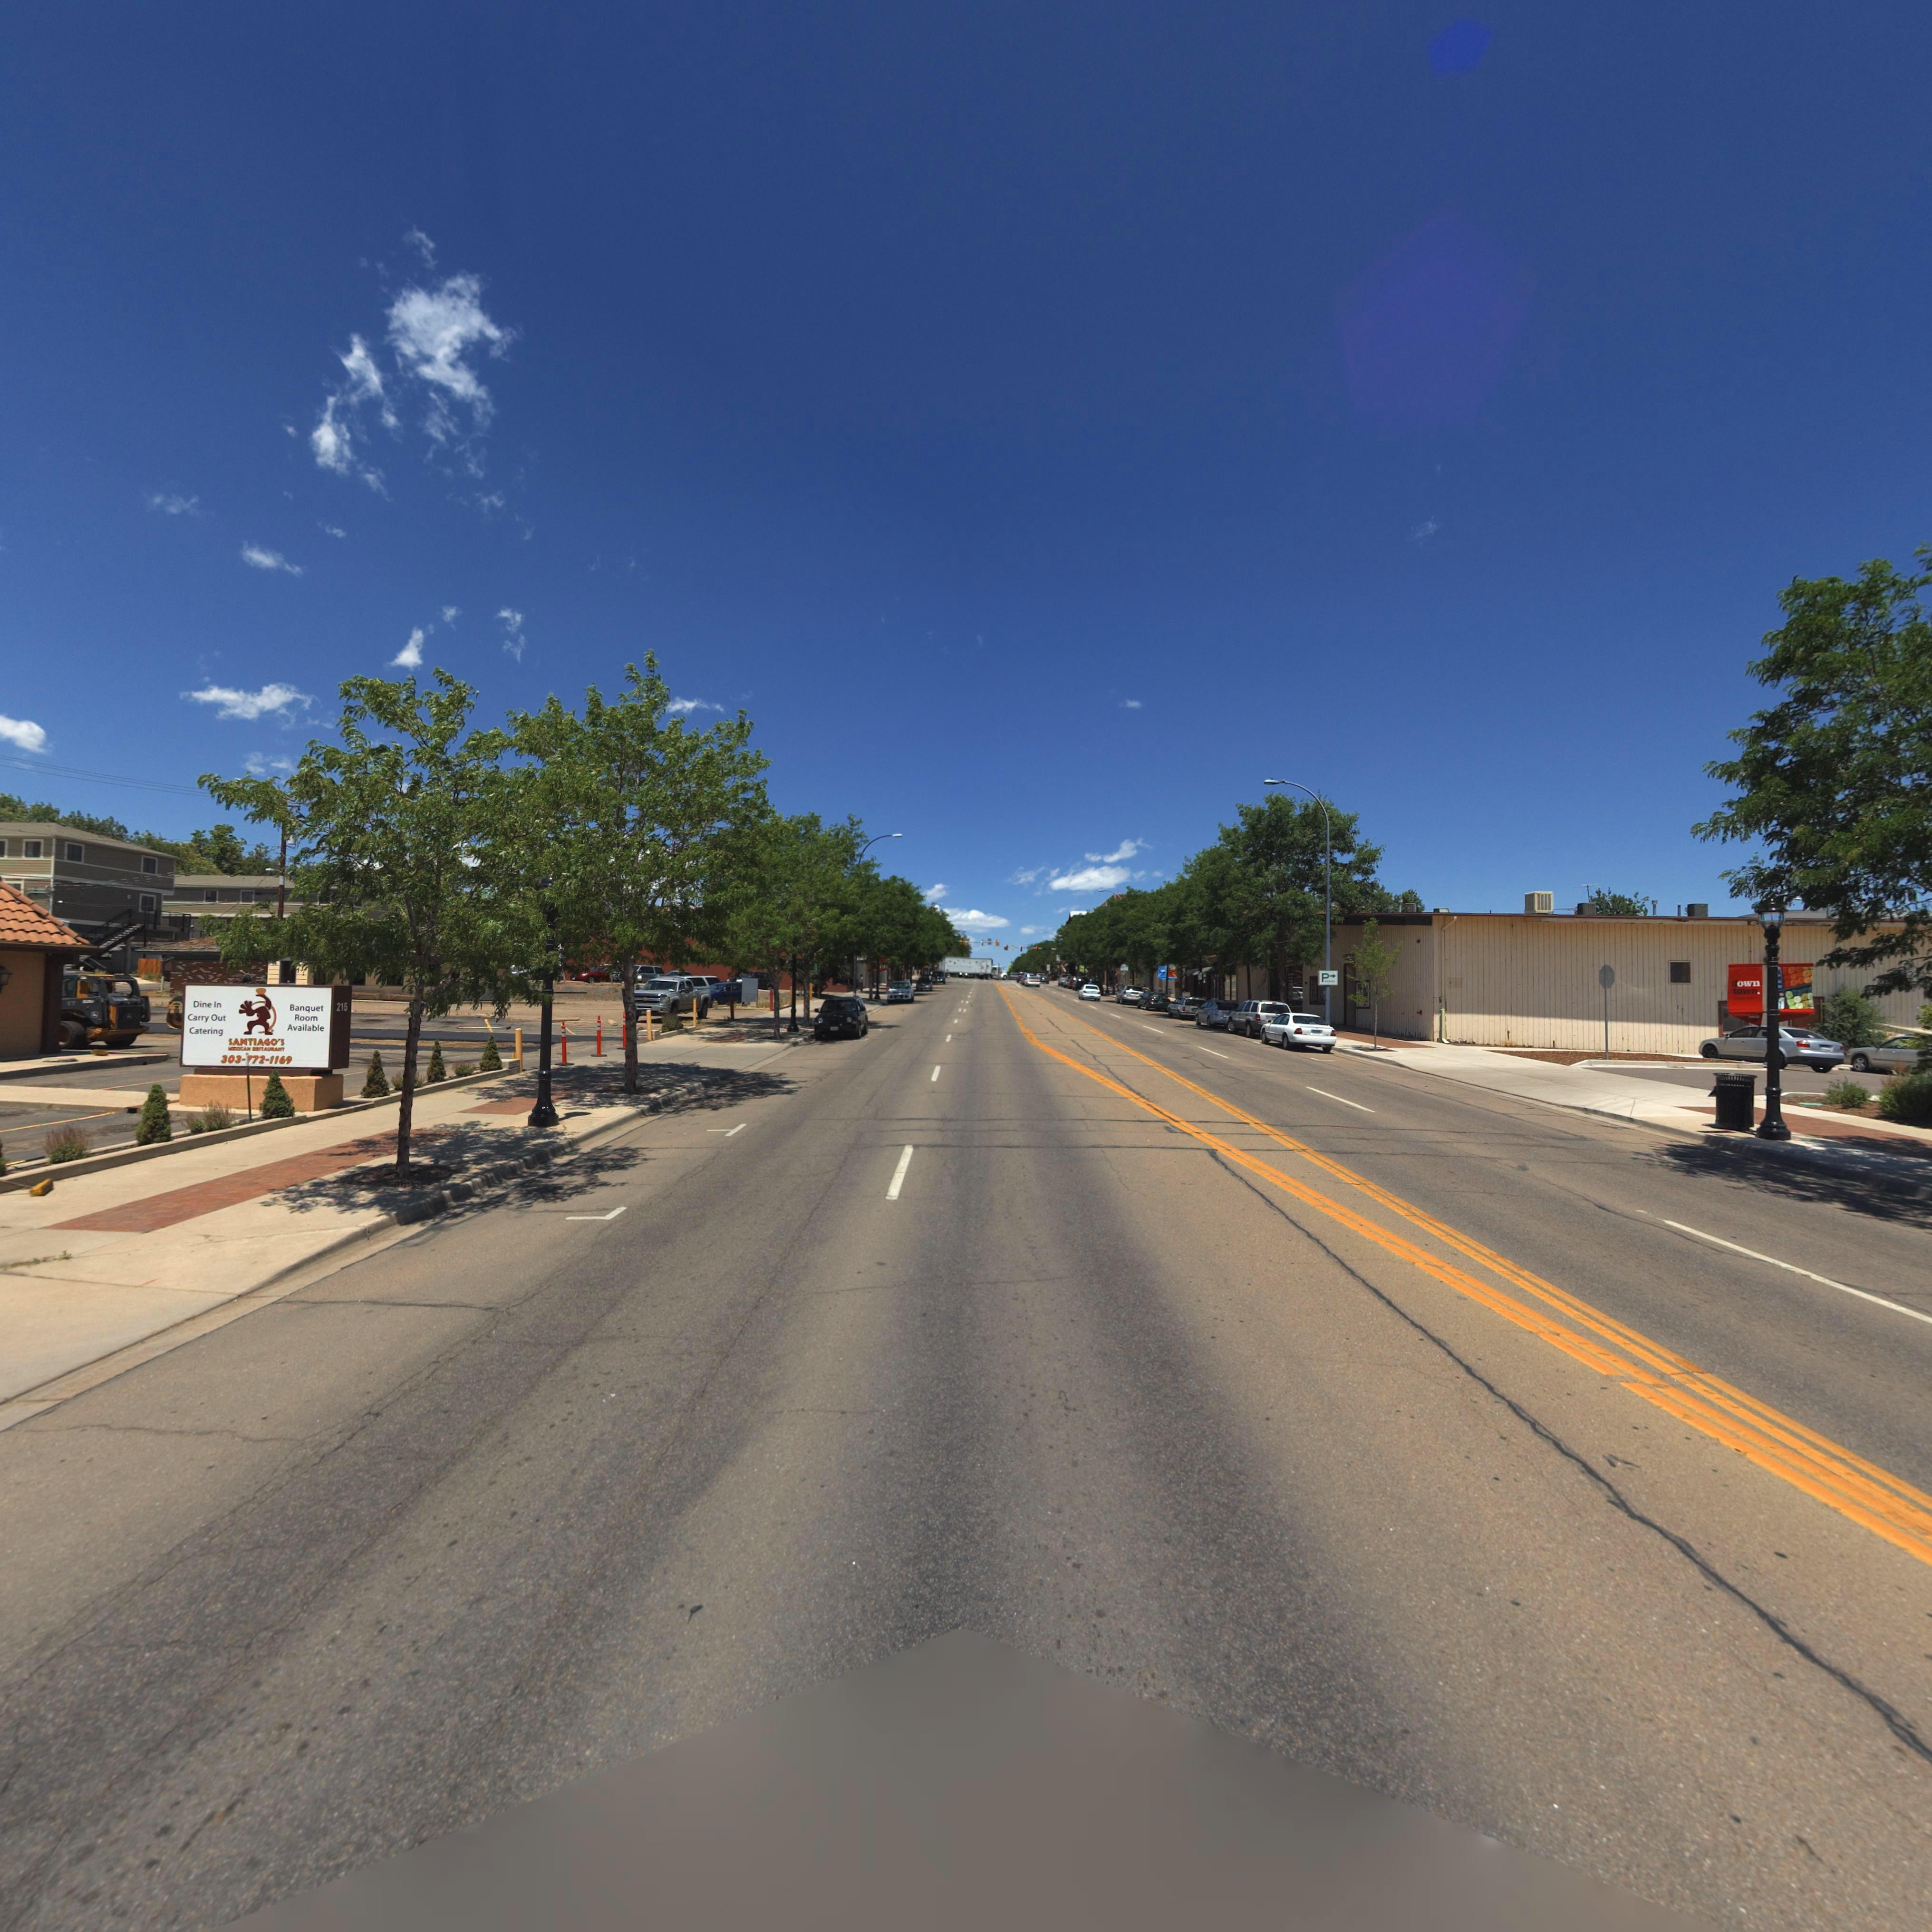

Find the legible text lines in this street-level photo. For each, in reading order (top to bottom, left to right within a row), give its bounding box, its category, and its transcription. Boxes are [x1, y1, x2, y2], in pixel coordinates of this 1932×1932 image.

[336, 1001, 348, 1011] StreetNumber: 215
[227, 1037, 285, 1047] BusinessName: SANTIAGO'S
[227, 1046, 286, 1052] BusinessName: MEXICAN RESTAURANT